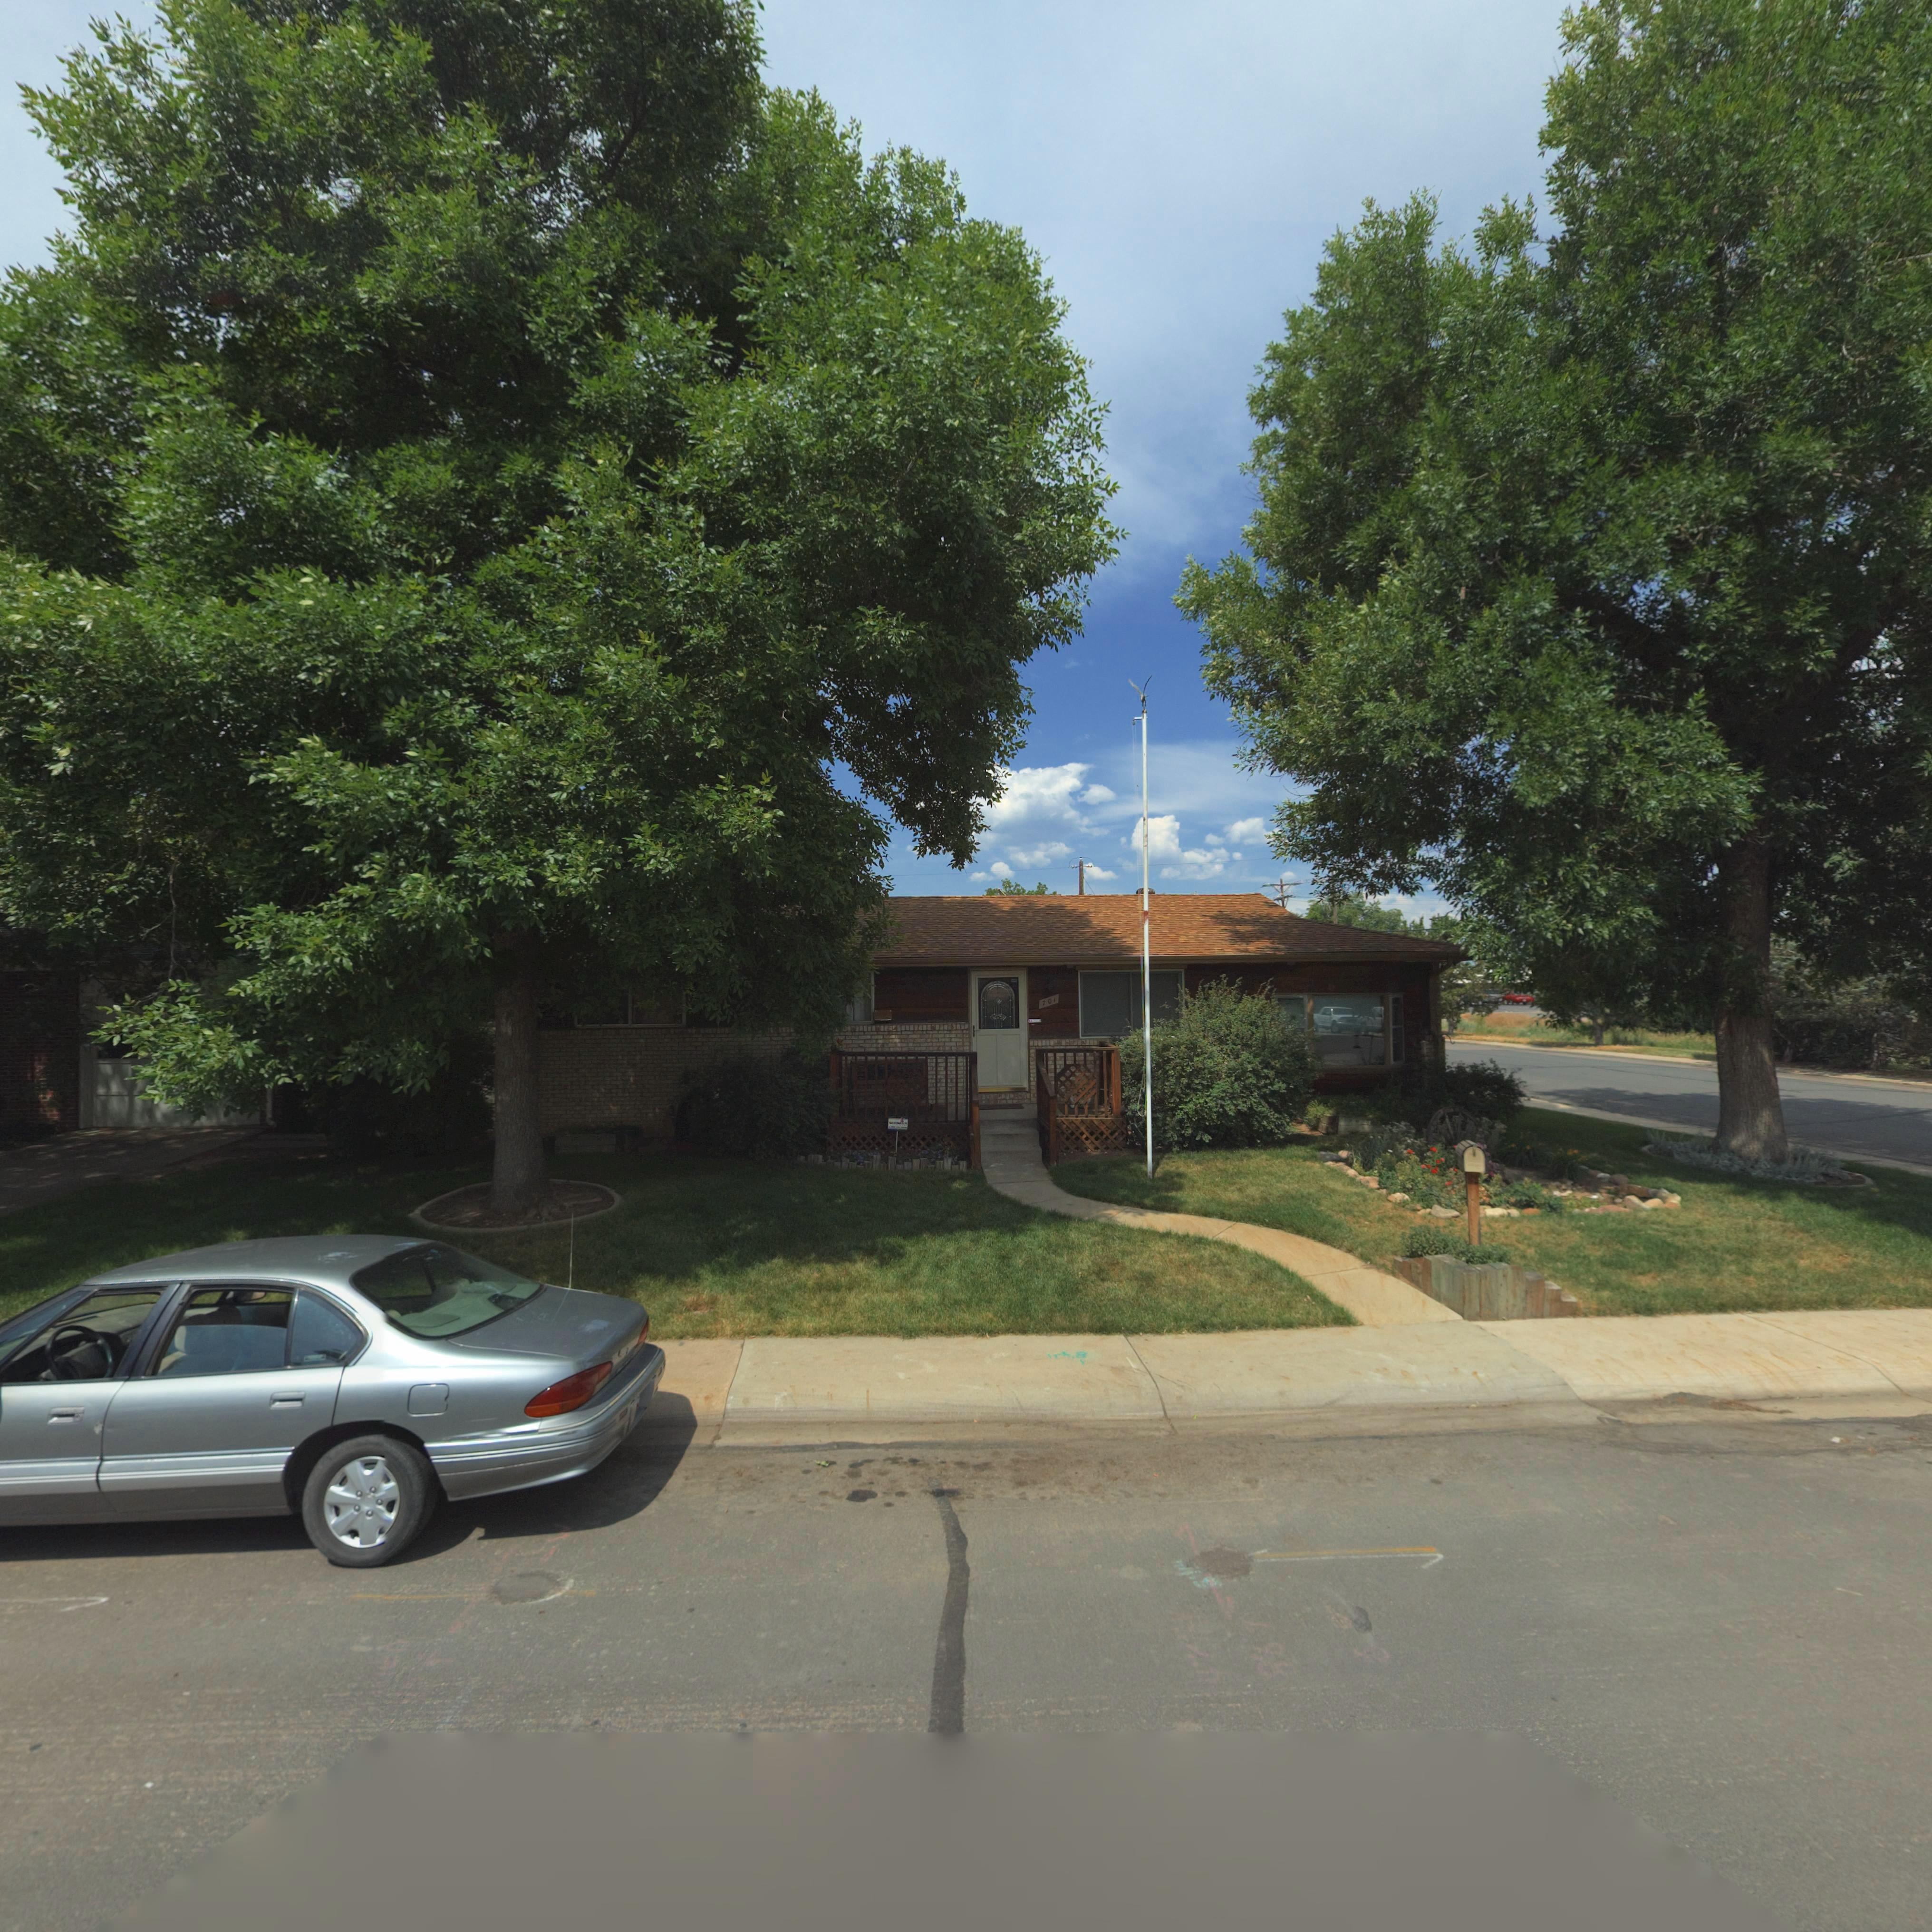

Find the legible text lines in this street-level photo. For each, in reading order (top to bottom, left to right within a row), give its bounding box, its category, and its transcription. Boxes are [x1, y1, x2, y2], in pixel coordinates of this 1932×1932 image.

[1041, 996, 1056, 1006] StreetNumber: 701